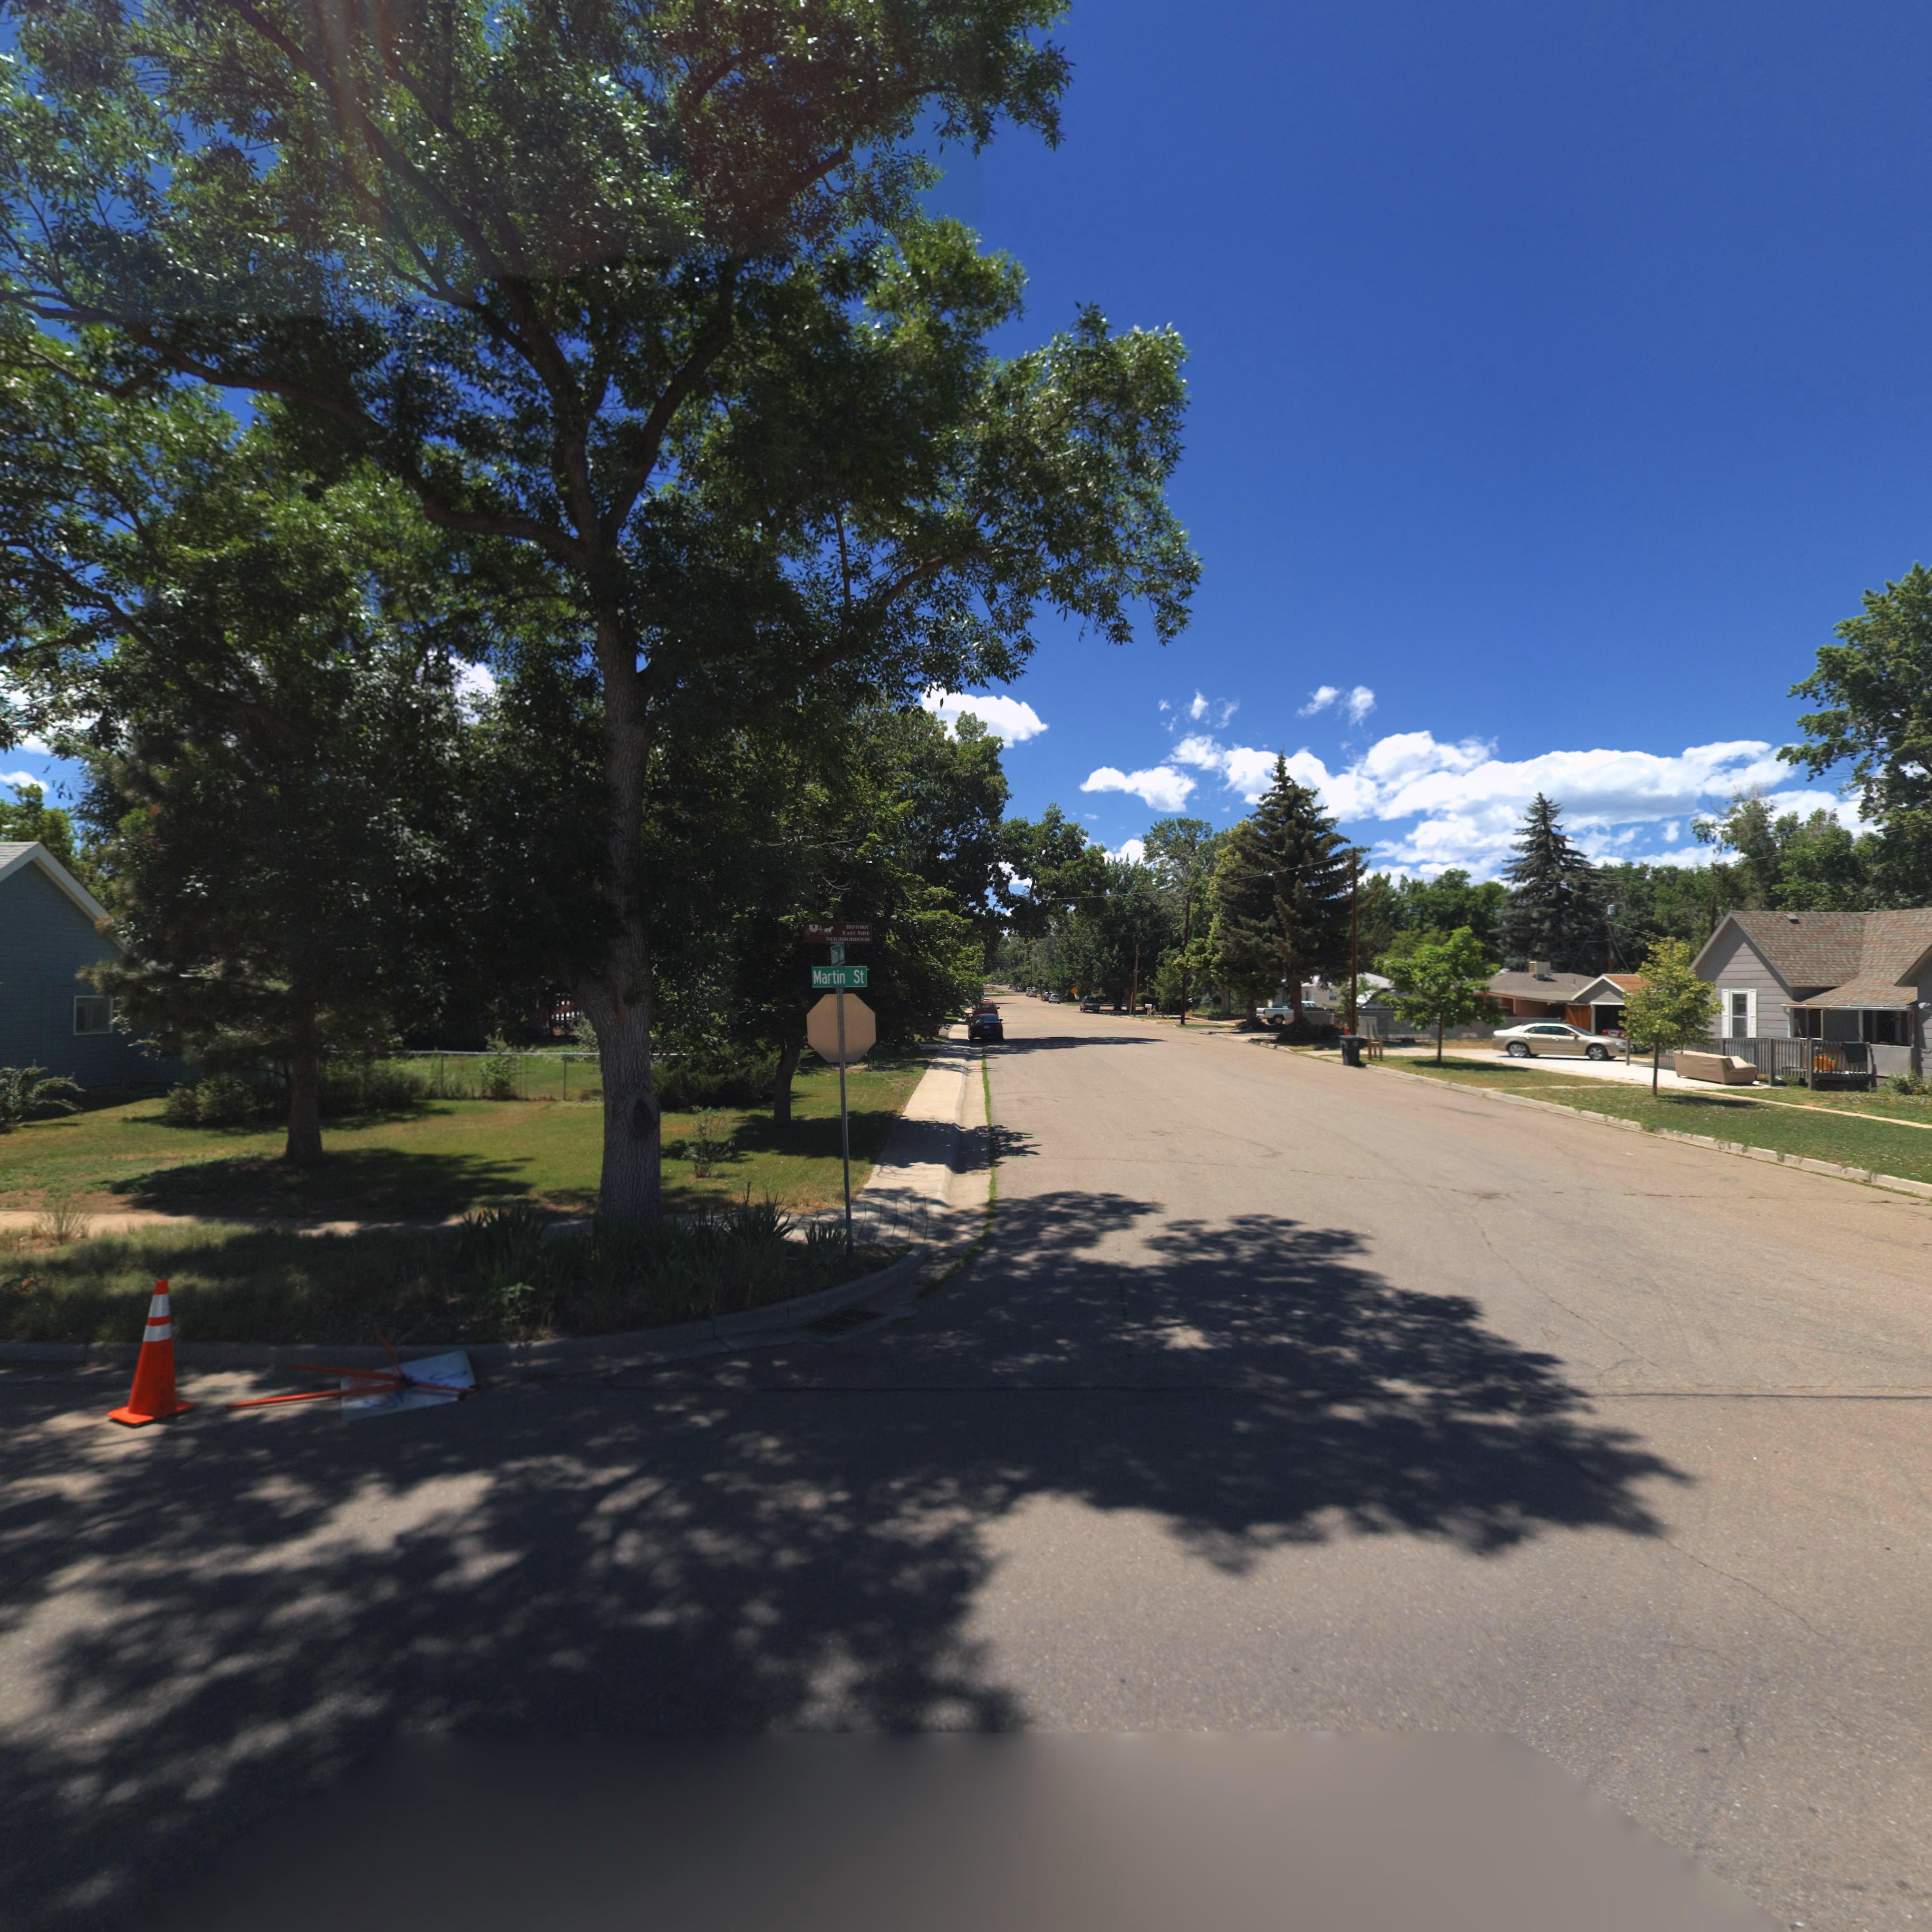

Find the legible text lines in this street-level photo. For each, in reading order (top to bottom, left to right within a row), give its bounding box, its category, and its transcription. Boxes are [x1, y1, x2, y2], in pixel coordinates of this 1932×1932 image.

[831, 947, 845, 964] StreetName: 8th Av
[813, 969, 865, 985] StreetName: Martin St